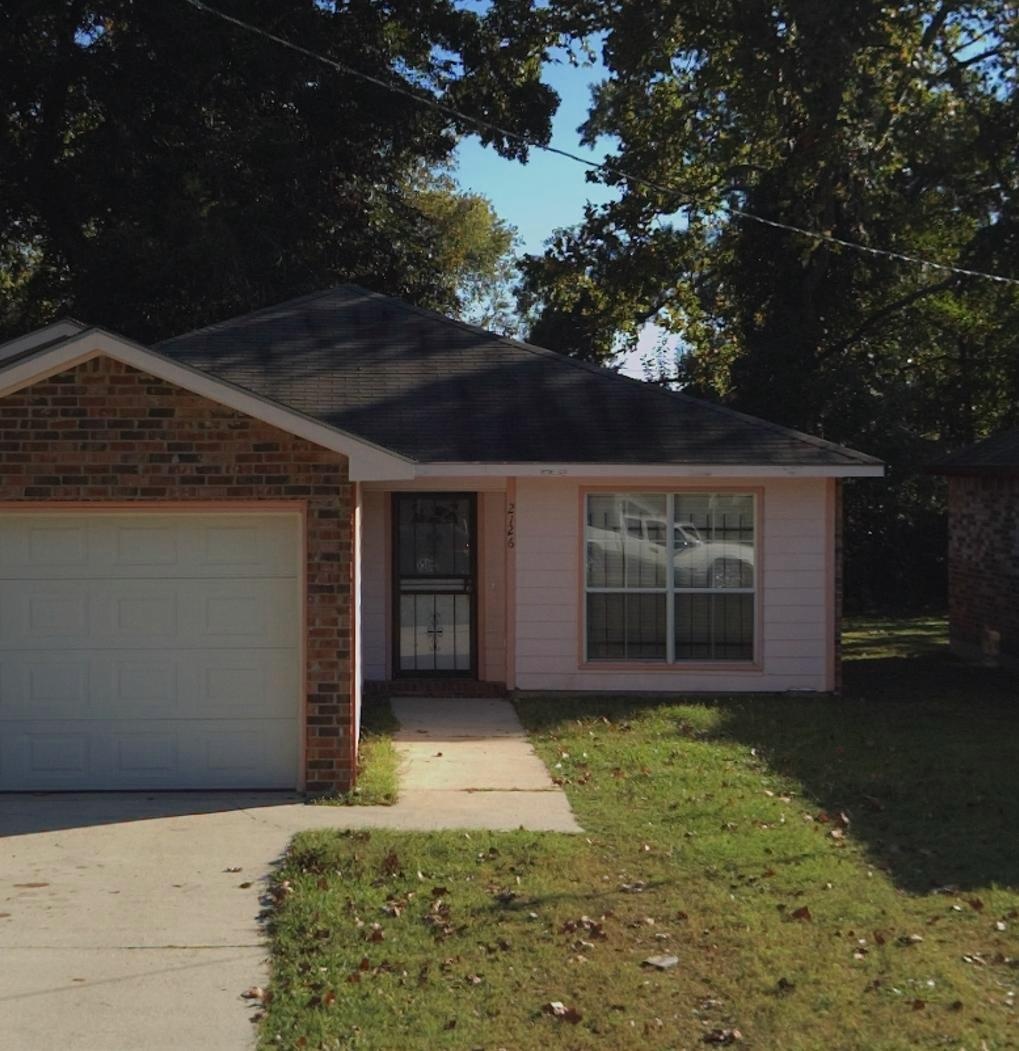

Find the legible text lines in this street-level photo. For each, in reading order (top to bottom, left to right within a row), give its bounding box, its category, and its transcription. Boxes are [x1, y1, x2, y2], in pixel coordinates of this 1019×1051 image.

[506, 501, 516, 550] StreetNumber: 2126